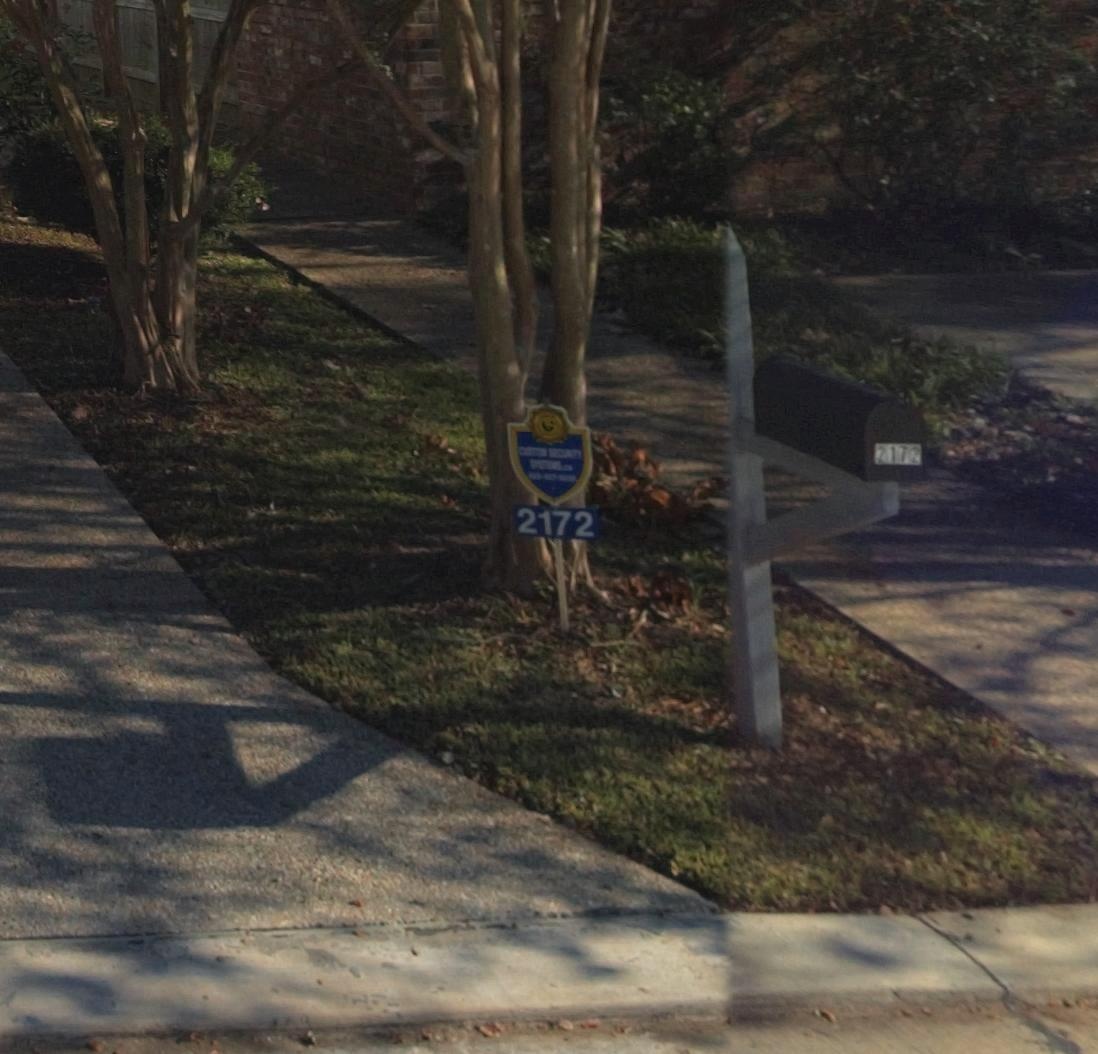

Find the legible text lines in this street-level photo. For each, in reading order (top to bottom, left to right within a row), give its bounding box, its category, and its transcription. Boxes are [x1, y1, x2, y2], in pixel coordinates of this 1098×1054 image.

[875, 443, 921, 466] StreetNumber: 2172
[514, 506, 598, 541] StreetNumber: 2172